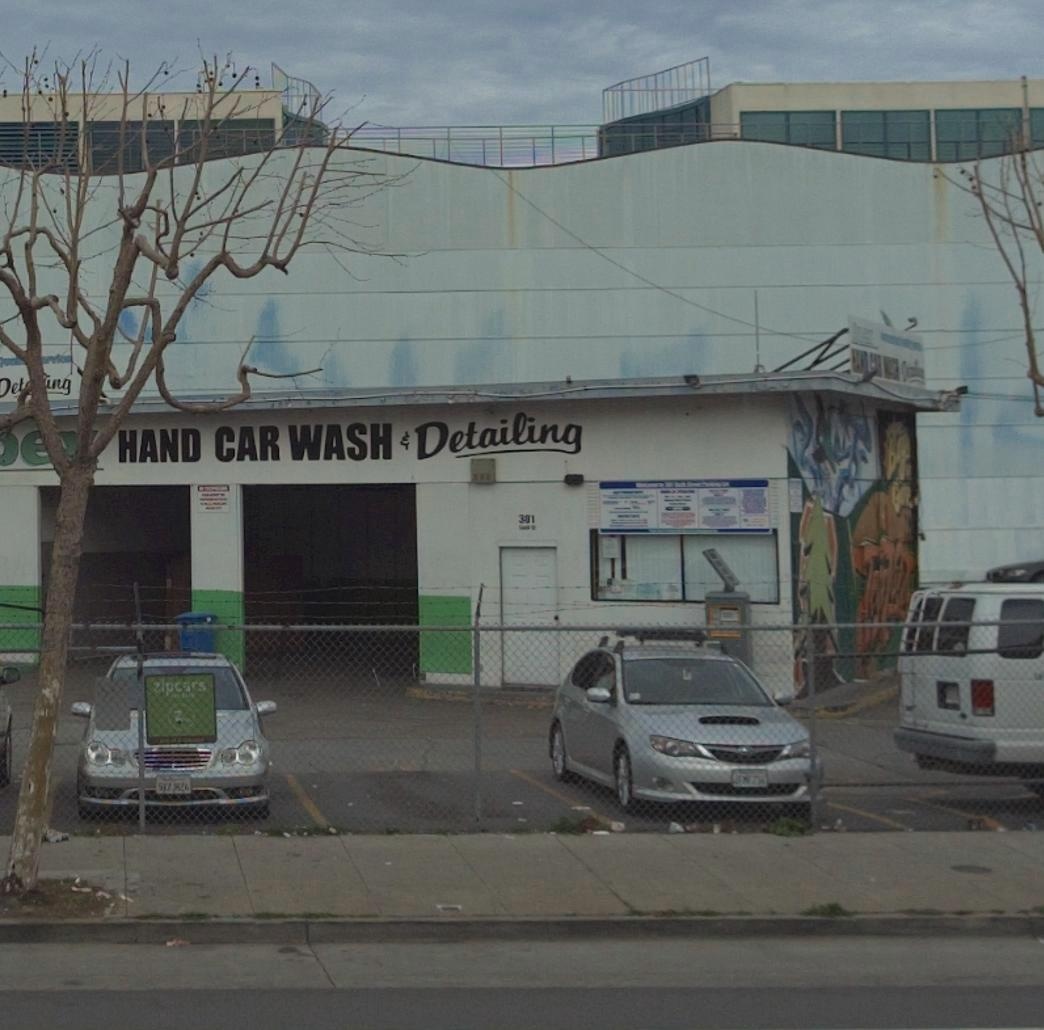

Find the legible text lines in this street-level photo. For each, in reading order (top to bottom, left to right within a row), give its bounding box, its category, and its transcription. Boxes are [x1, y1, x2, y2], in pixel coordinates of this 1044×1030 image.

[9, 371, 74, 398] None: et***ing
[116, 408, 586, 466] BusinessName: HAND CAR WASH & Detailing
[517, 512, 537, 526] StreetNumber: 301
[150, 675, 208, 699] None: *ip**rs